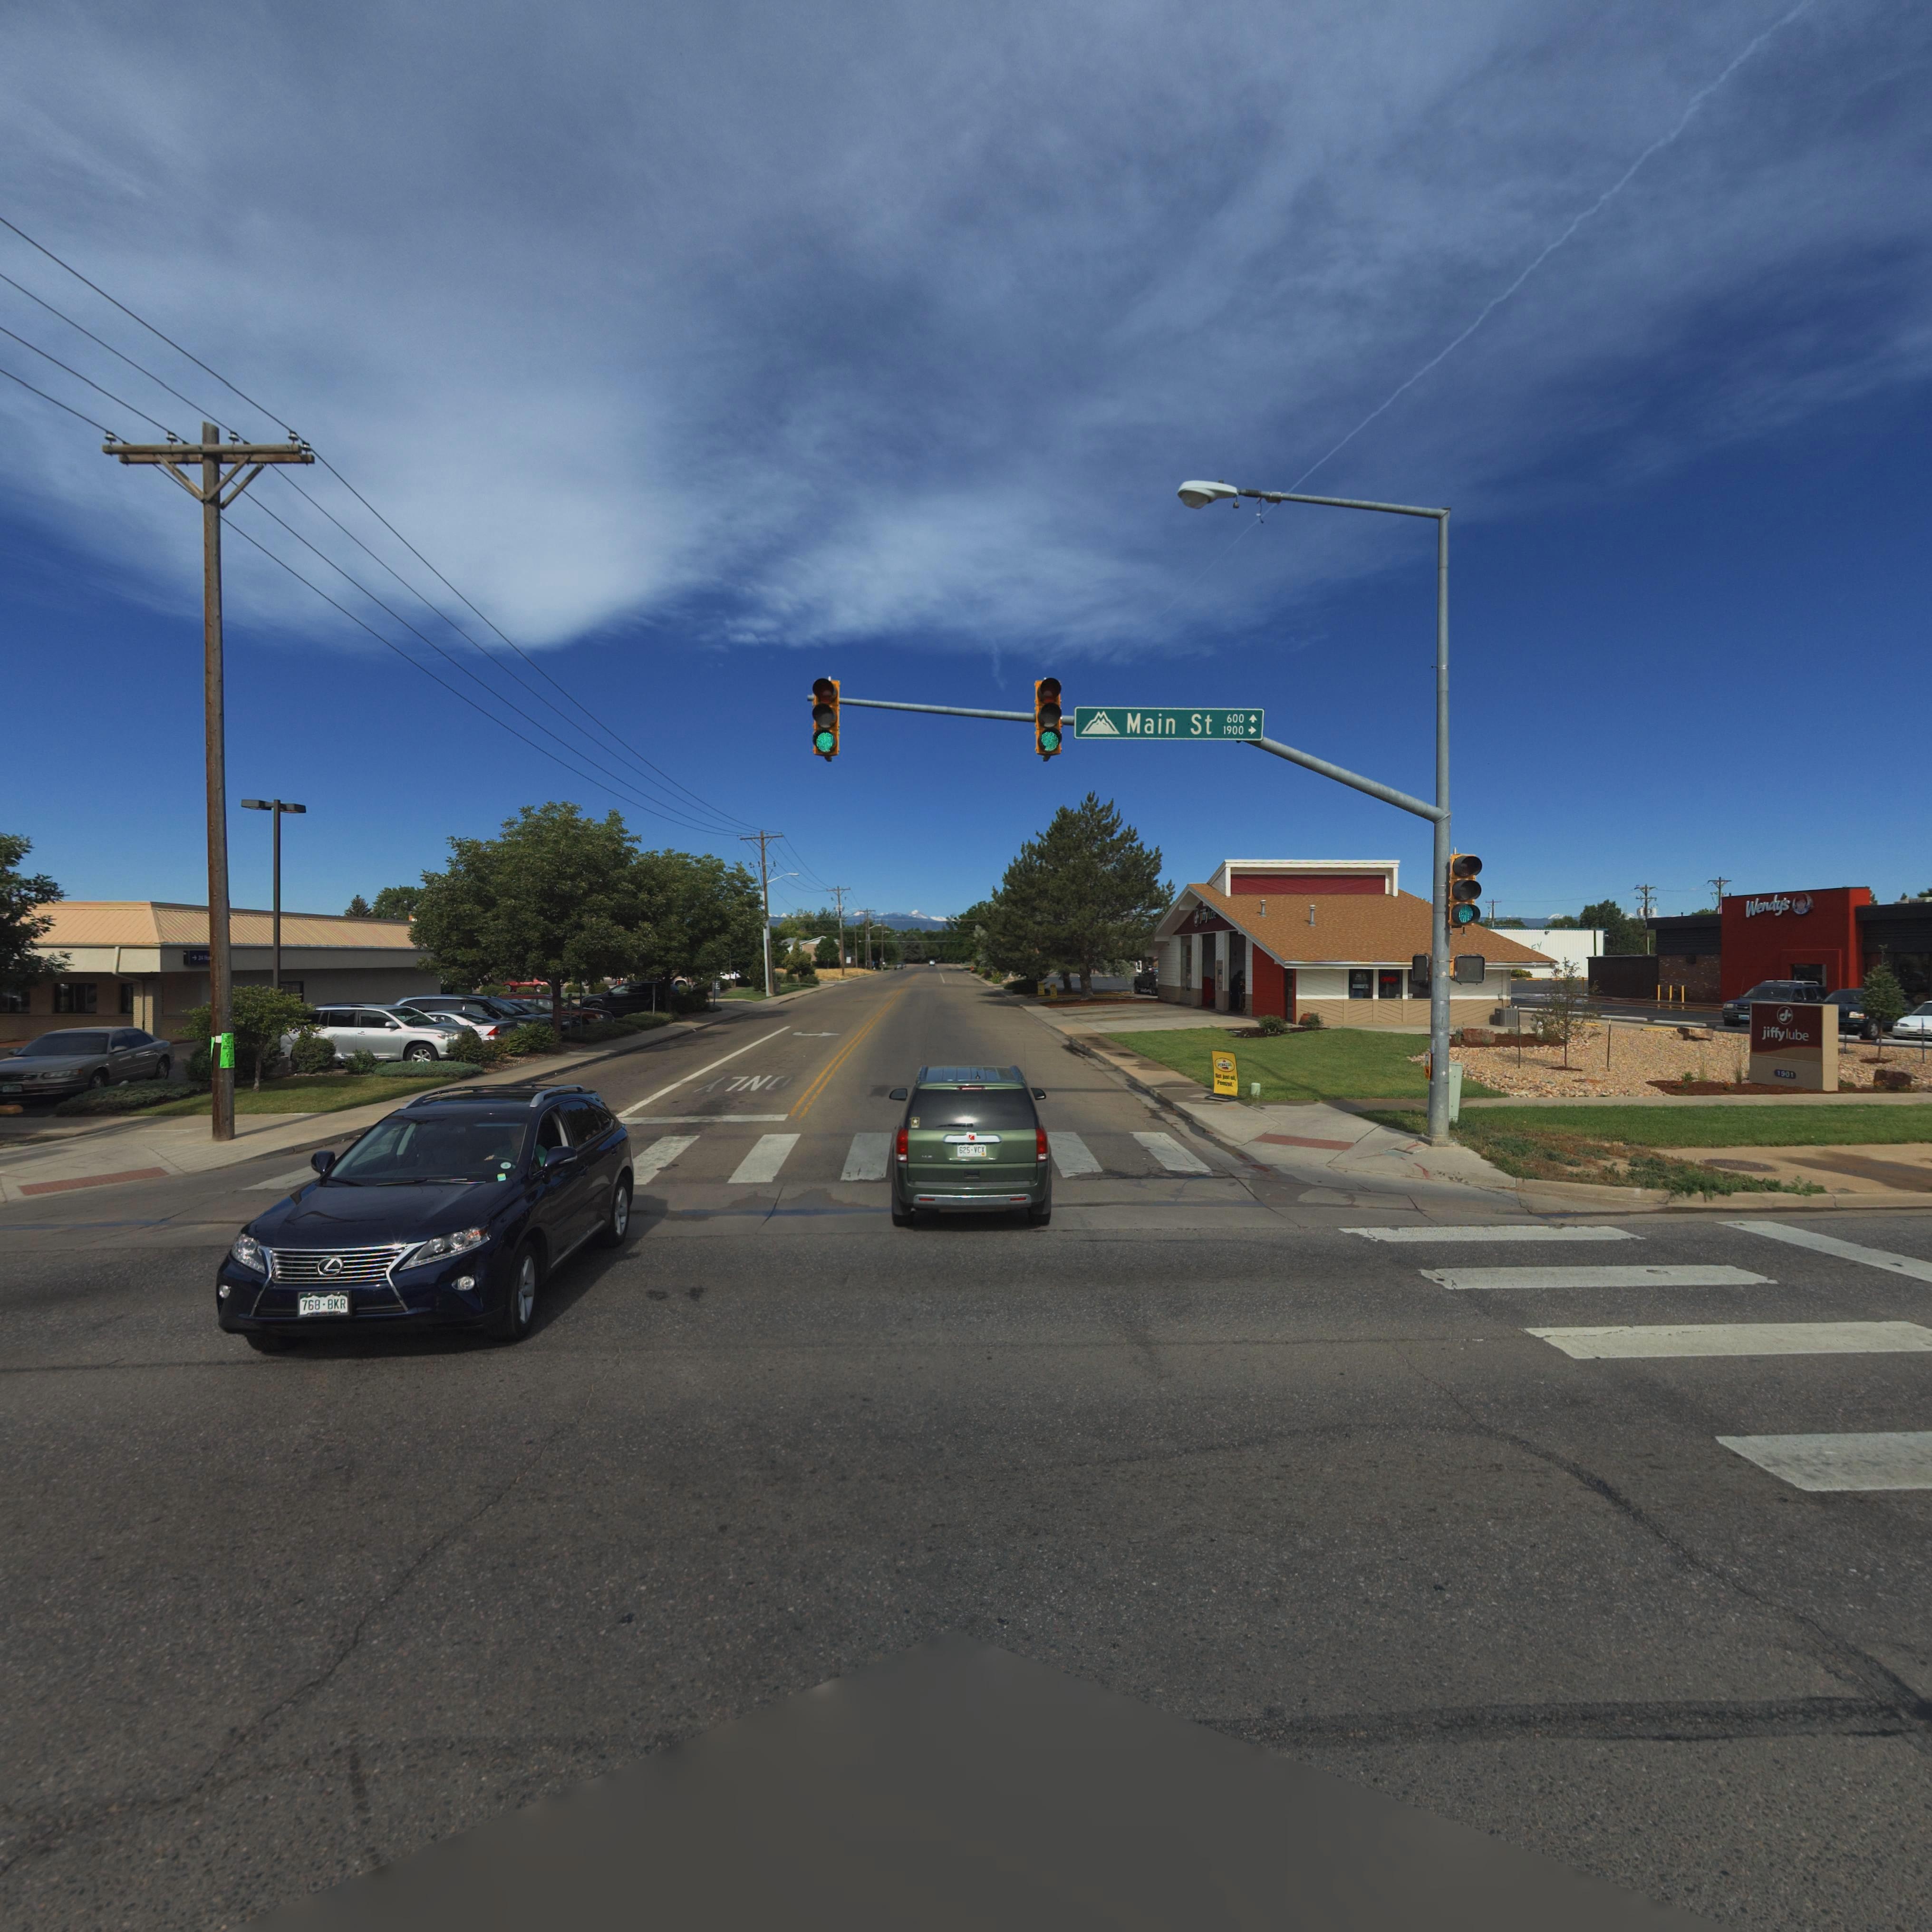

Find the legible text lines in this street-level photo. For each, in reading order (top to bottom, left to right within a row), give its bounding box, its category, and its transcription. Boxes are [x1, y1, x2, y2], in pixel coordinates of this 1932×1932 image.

[1125, 711, 1214, 735] StreetName: Main St
[1226, 713, 1245, 723] StreetNumberRange: 600
[1222, 724, 1258, 735] StreetNumberRange: 1900 ->
[1744, 893, 1791, 919] BusinessName: Wendy's
[1198, 908, 1217, 924] BusinessName: jiffyl***
[1760, 1025, 1809, 1042] BusinessName: jiffylube
[1777, 1069, 1794, 1078] StreetNumber: 1901